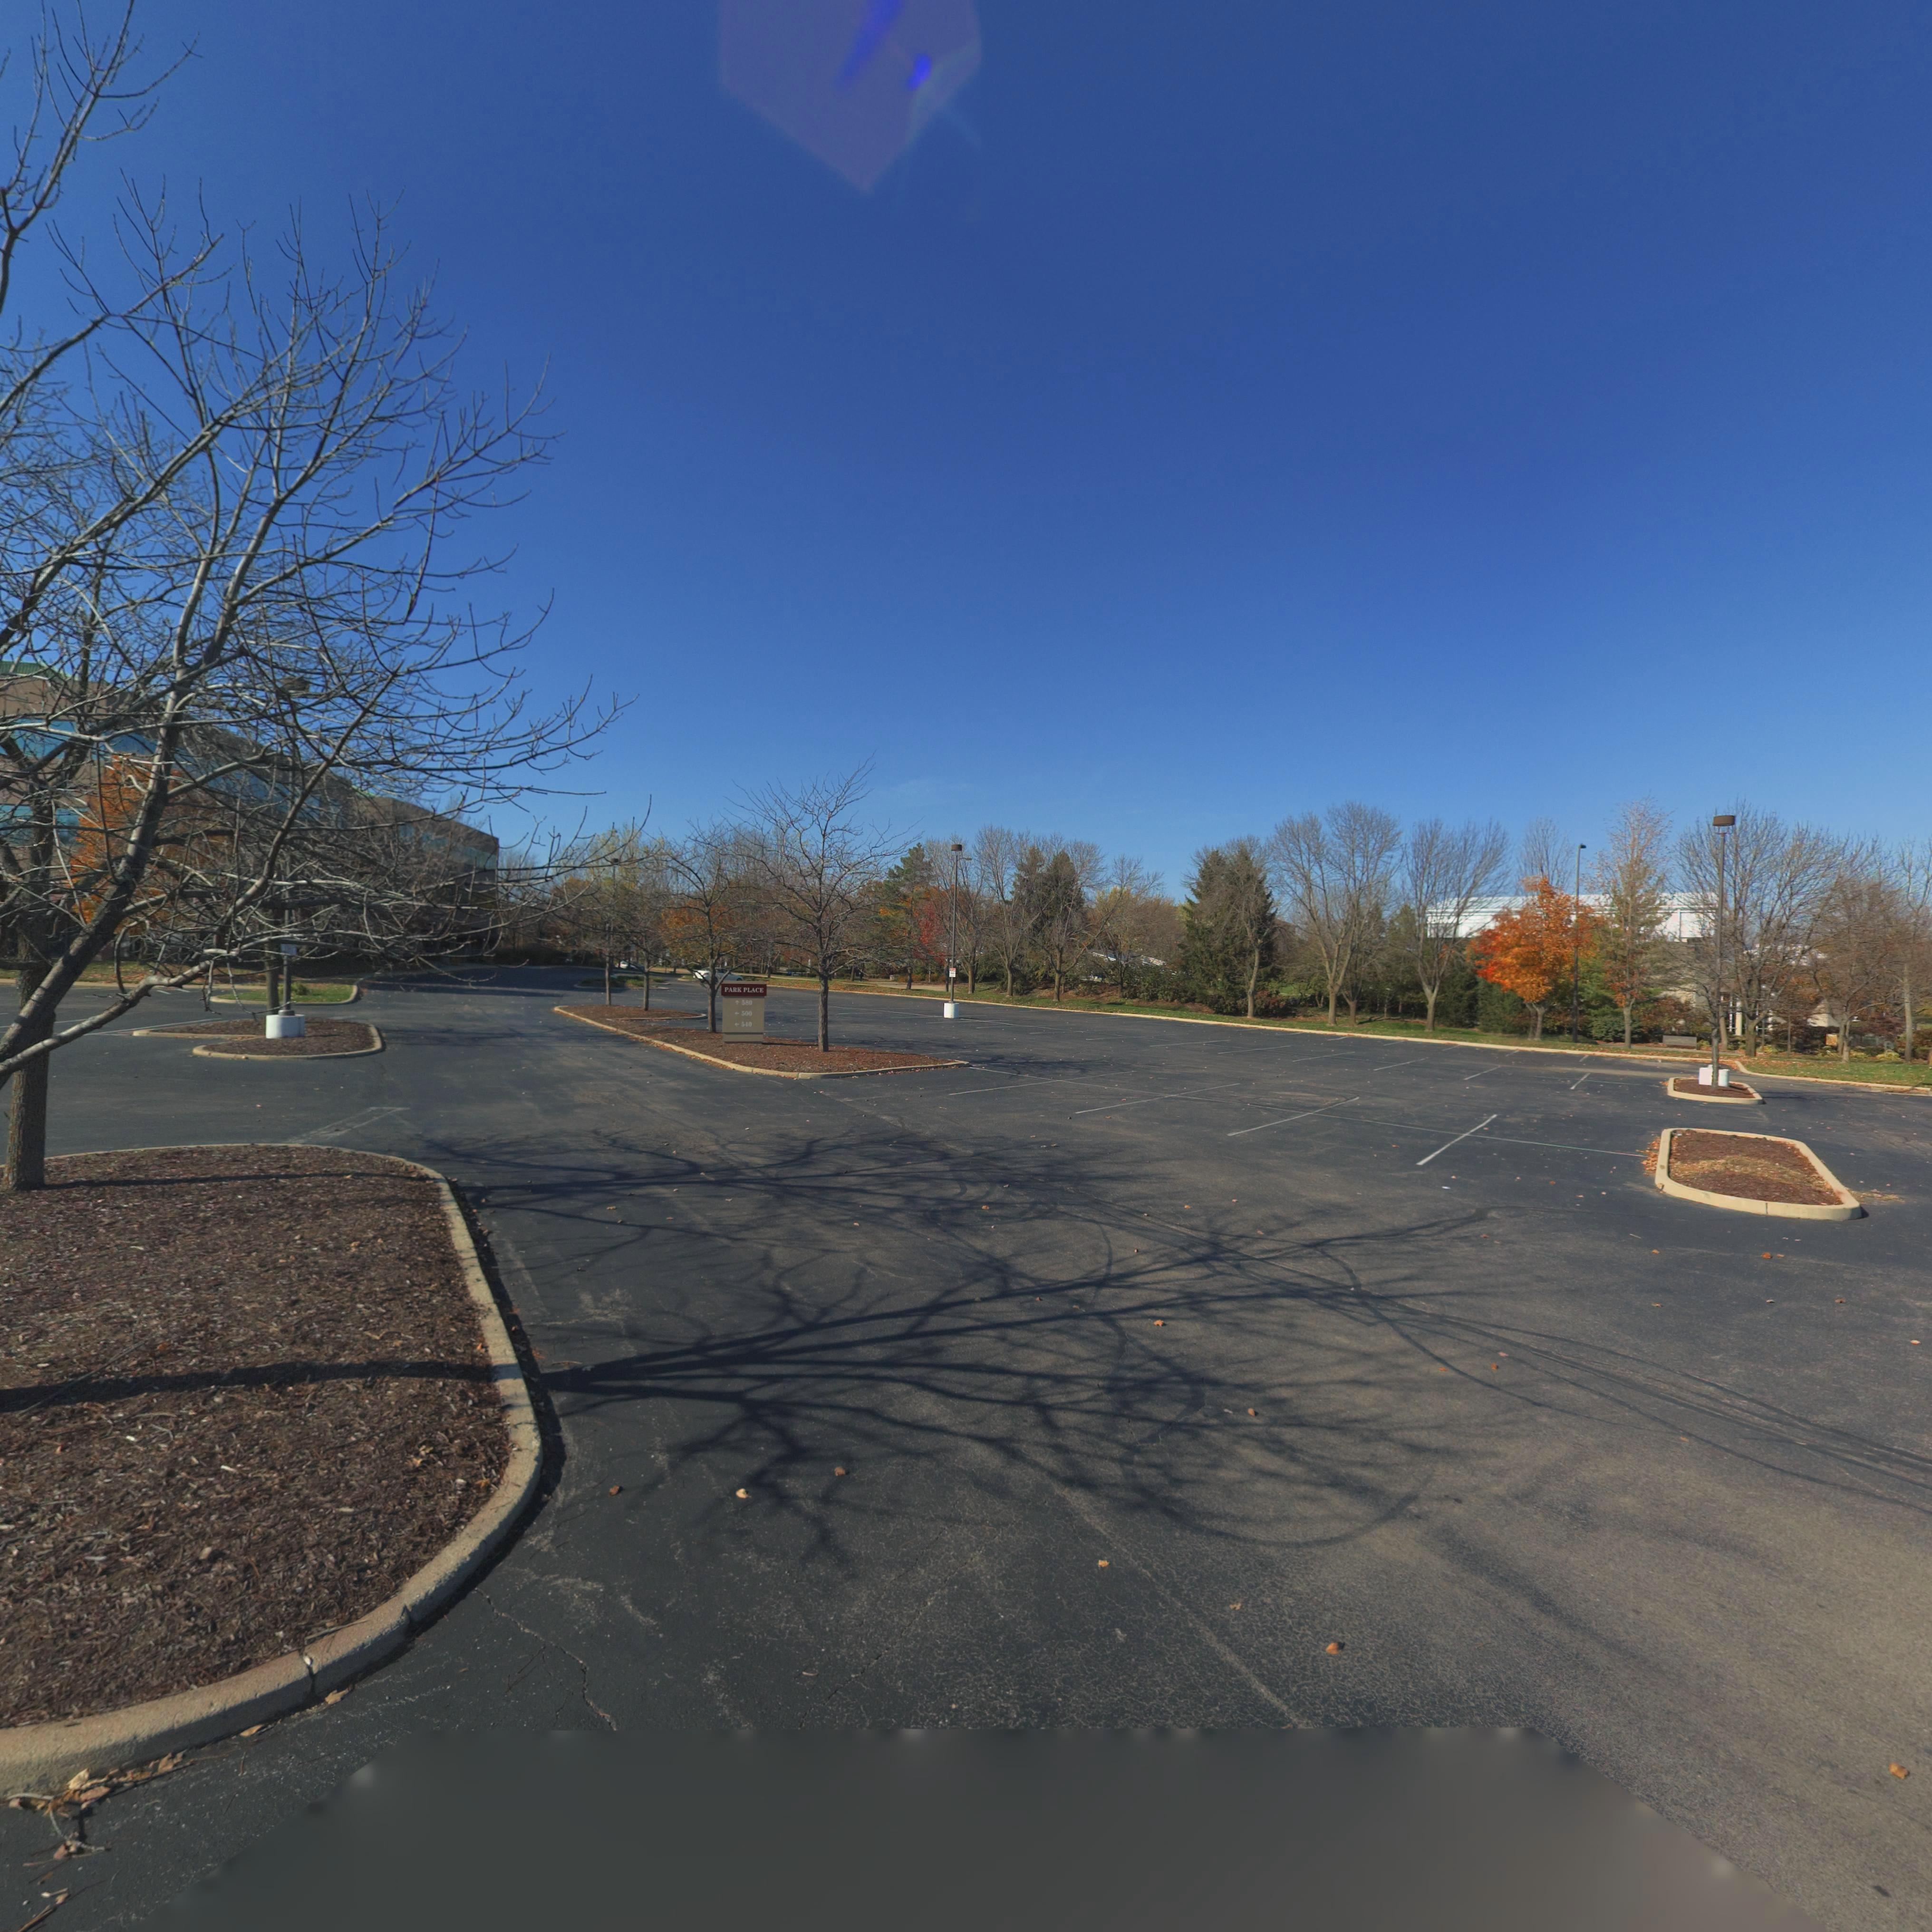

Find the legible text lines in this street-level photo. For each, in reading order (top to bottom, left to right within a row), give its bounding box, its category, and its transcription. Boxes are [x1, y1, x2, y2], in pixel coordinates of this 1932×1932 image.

[724, 986, 764, 993] None: PARK PLACE
[740, 999, 753, 1005] StreetNumber: 580
[741, 1010, 752, 1016] StreetNumber: 500
[741, 1021, 752, 1026] StreetNumber: 540